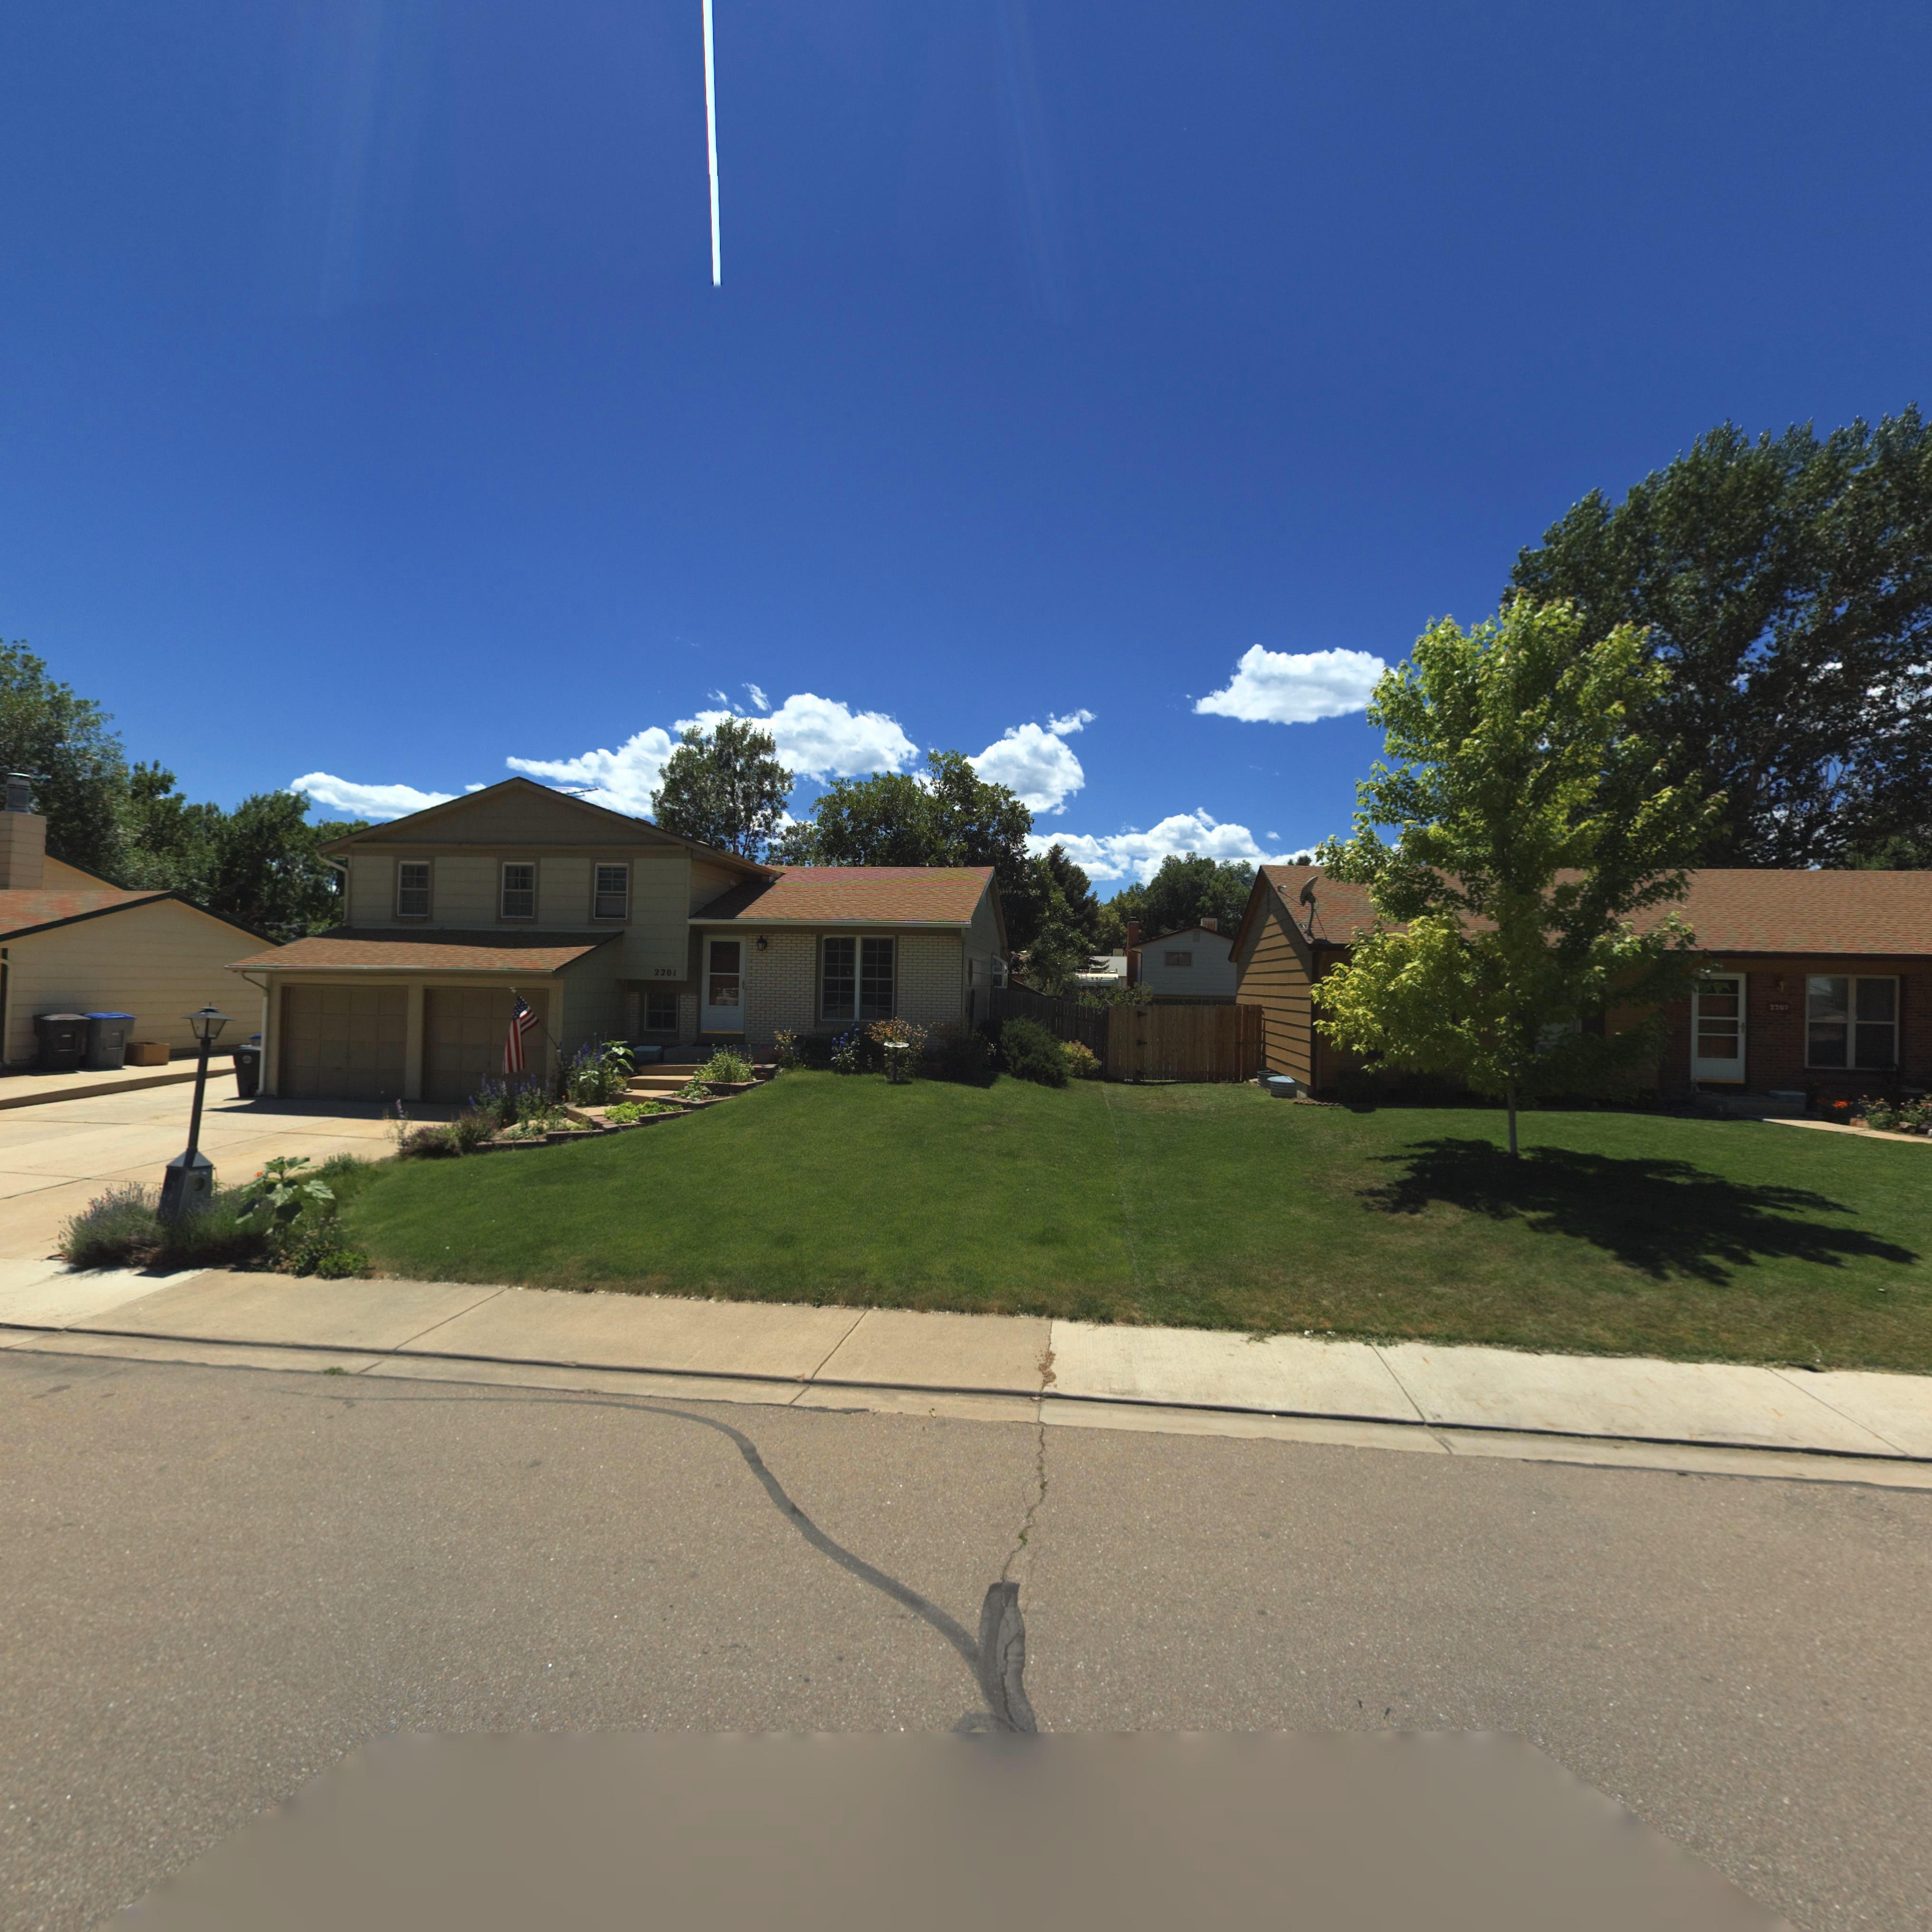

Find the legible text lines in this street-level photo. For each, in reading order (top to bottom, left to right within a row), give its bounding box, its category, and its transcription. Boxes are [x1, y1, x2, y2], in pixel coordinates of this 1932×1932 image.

[654, 969, 677, 976] StreetNumber: 2201
[1769, 1004, 1789, 1010] StreetNumber: 2207